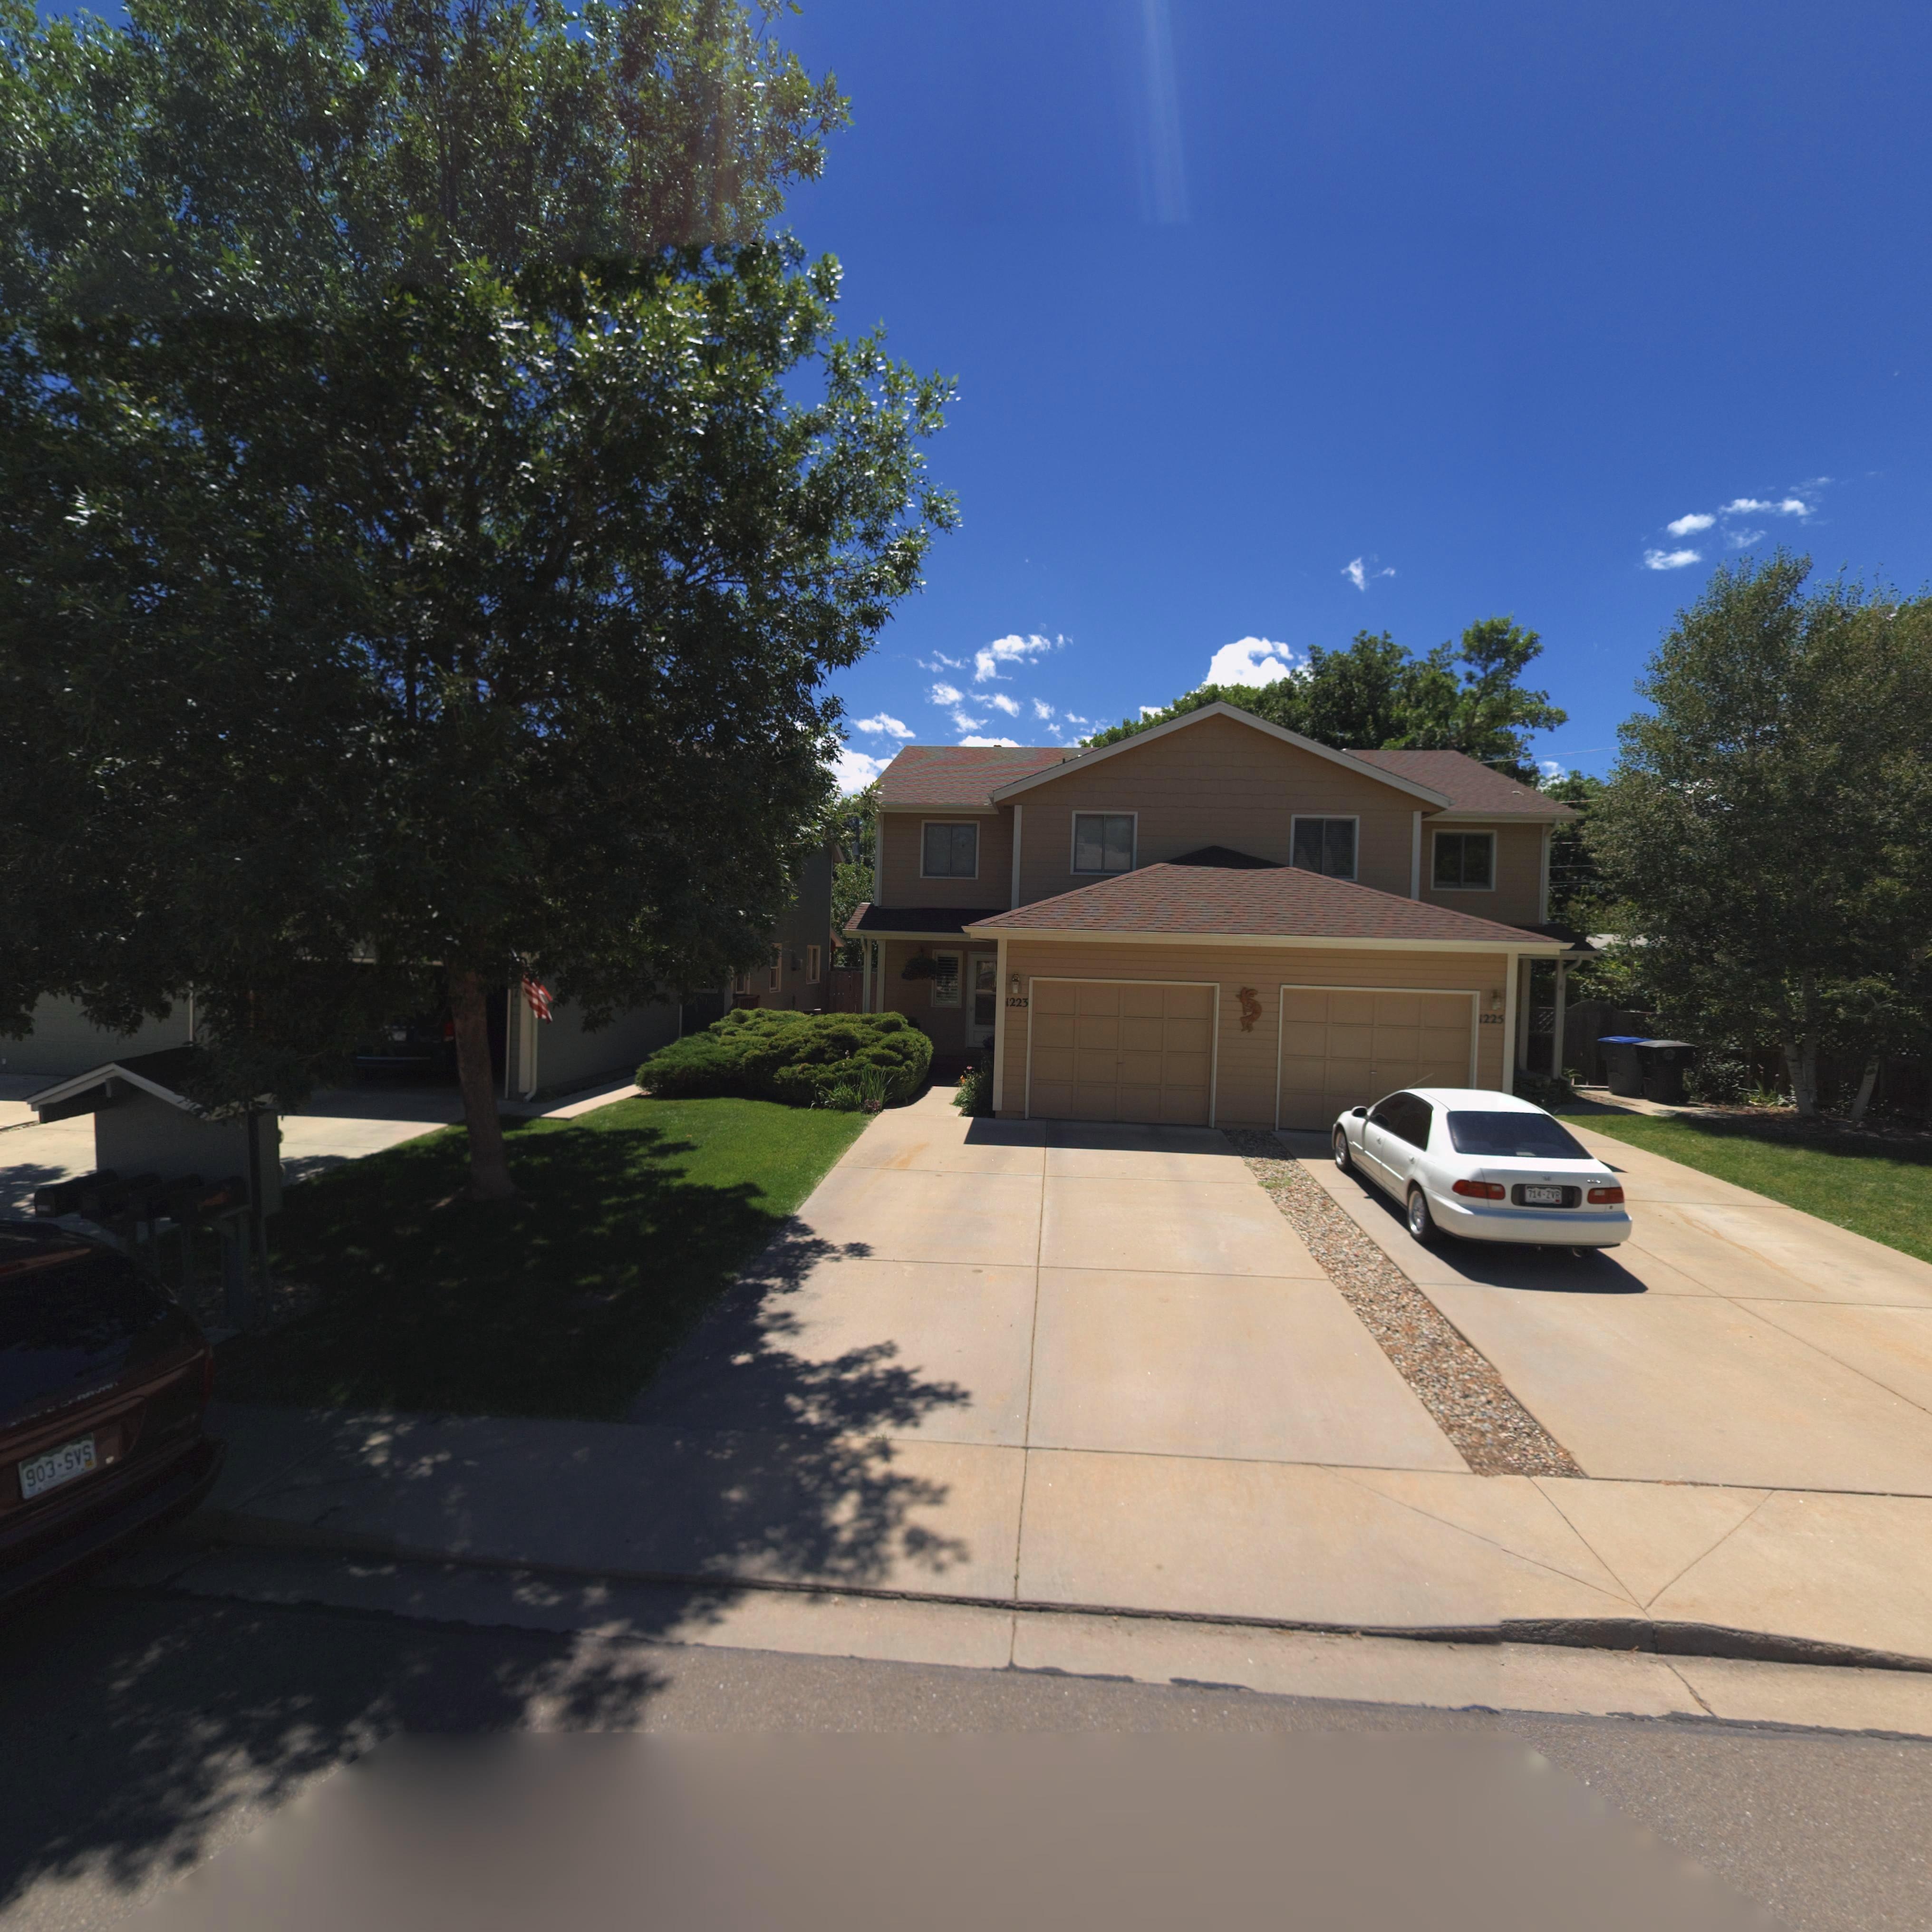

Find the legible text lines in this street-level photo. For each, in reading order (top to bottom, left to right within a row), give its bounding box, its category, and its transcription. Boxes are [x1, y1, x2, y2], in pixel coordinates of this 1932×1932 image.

[1005, 997, 1028, 1007] StreetNumber: 1223
[1478, 1013, 1504, 1024] StreetNumber: 1225